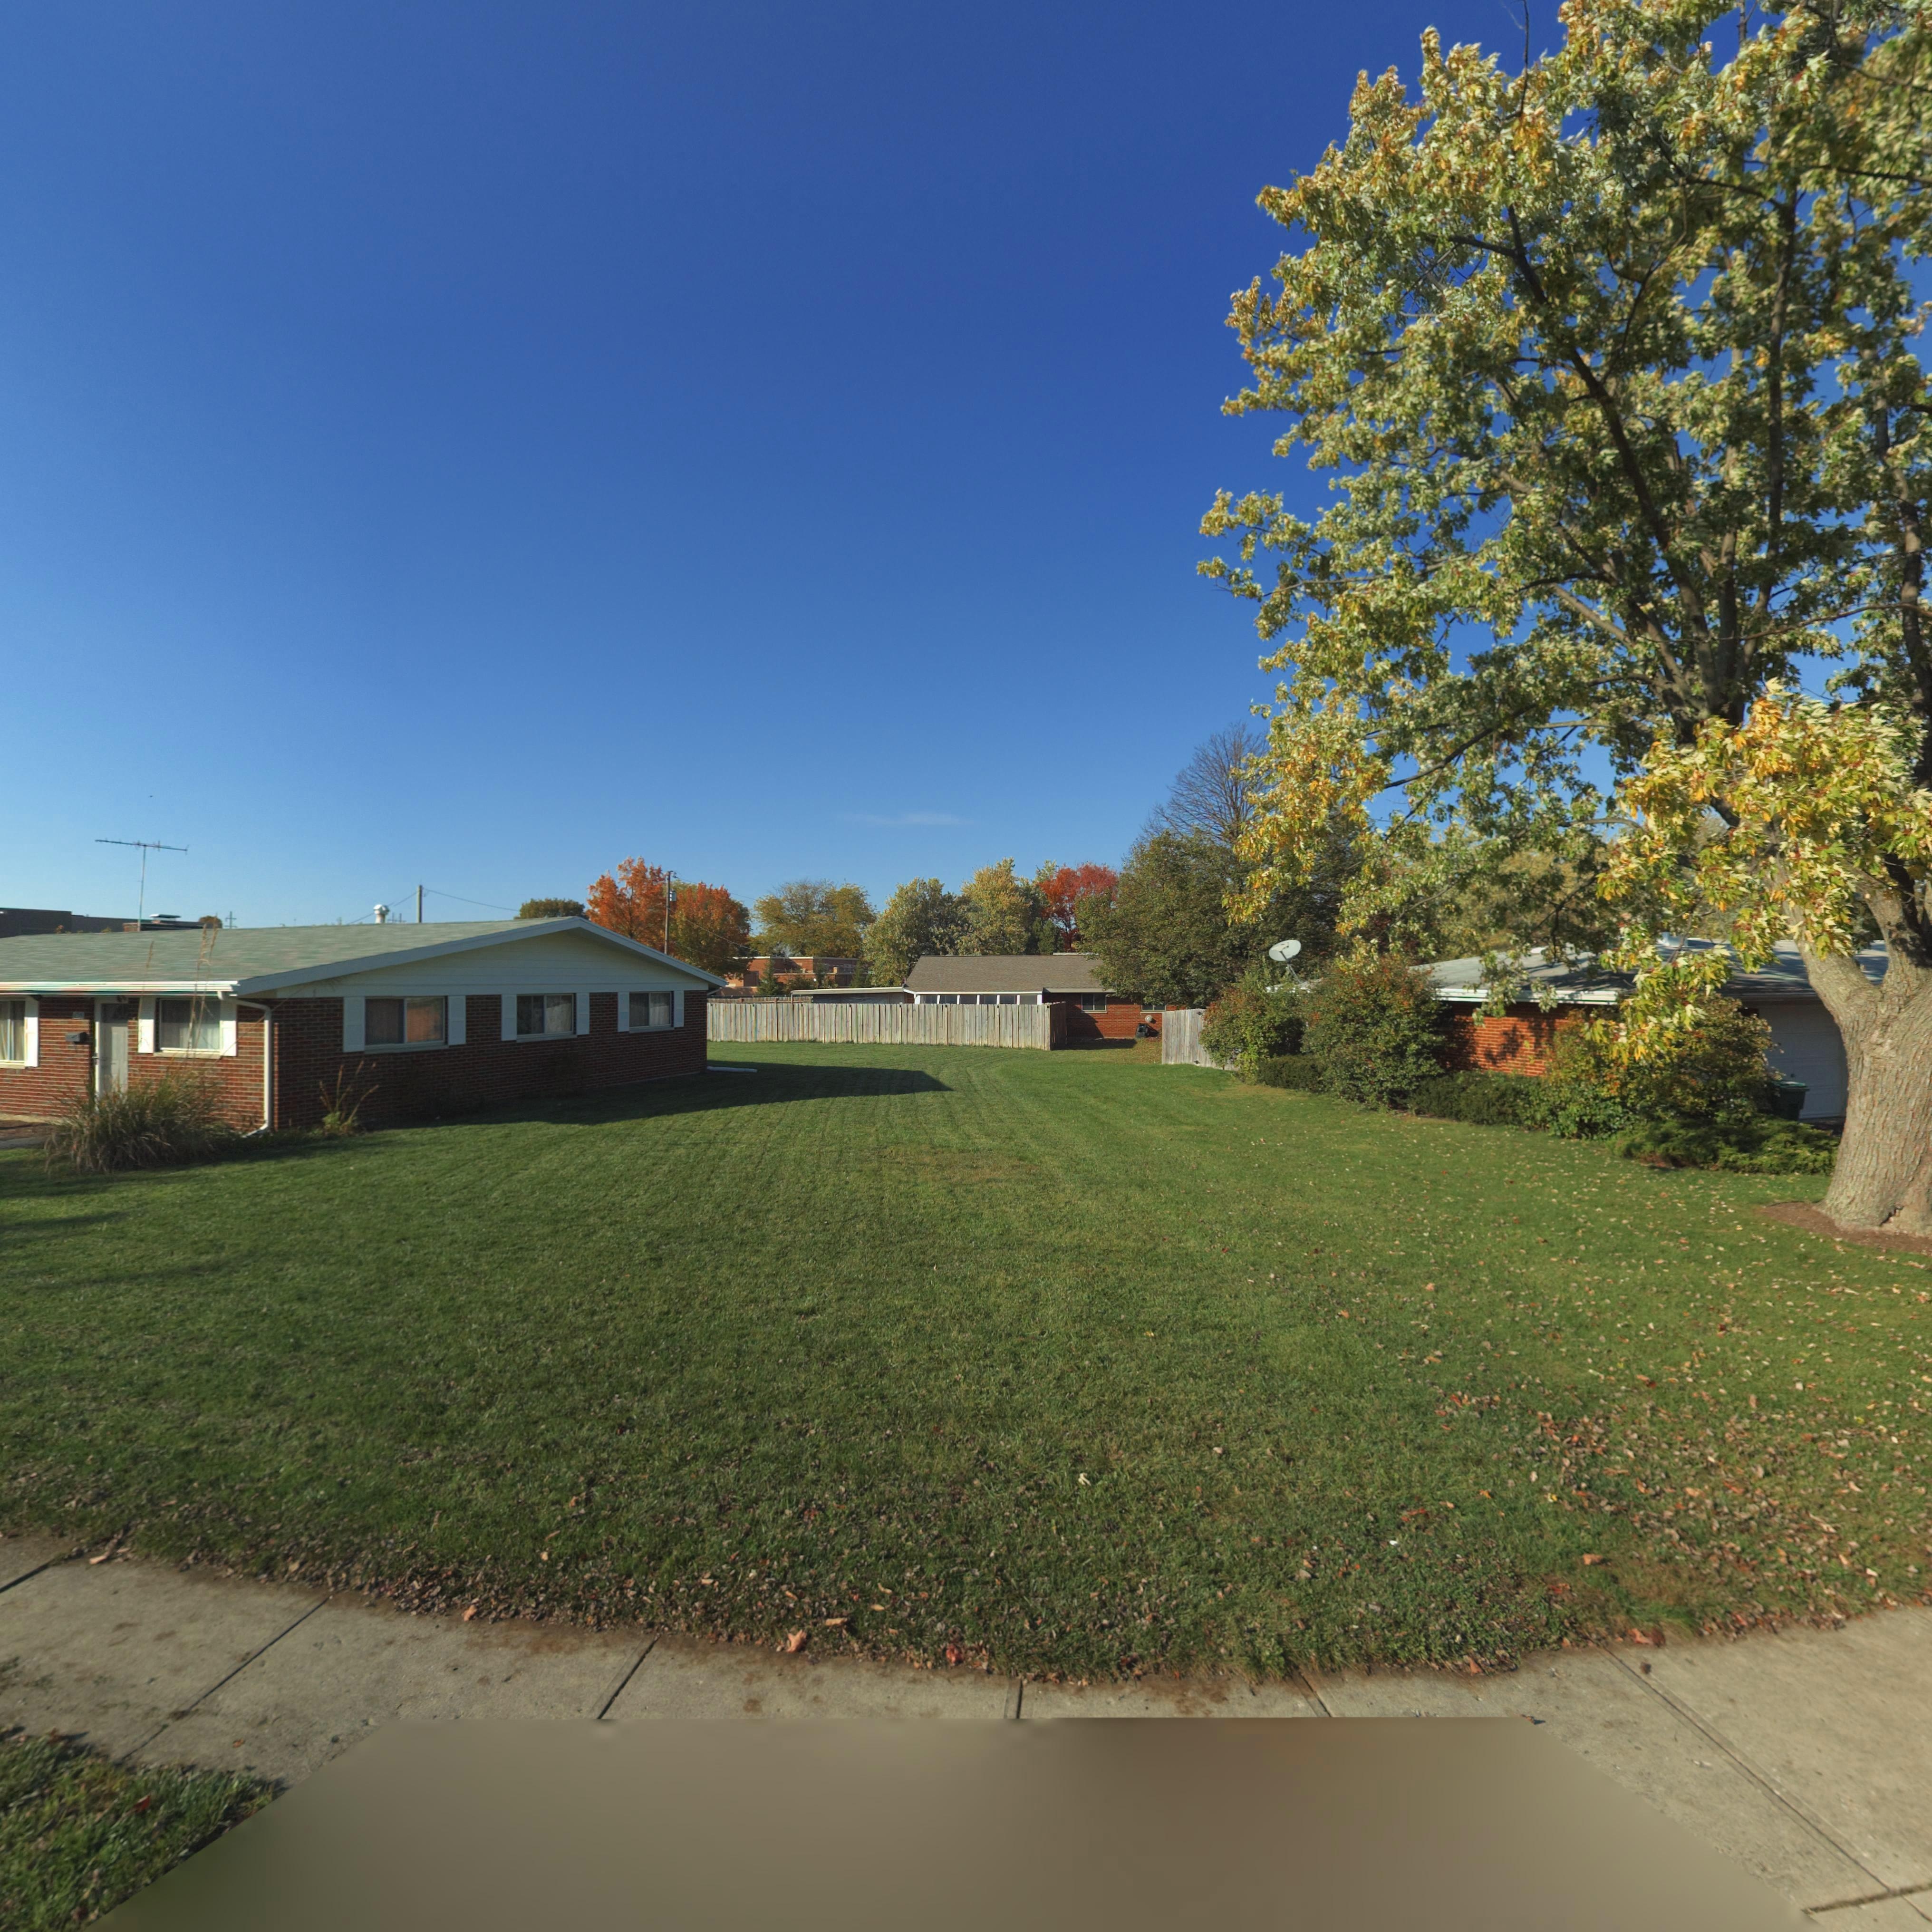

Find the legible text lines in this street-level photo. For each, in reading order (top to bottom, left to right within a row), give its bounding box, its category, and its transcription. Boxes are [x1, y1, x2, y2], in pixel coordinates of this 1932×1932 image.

[72, 1011, 84, 1019] StreetNumber: *5*